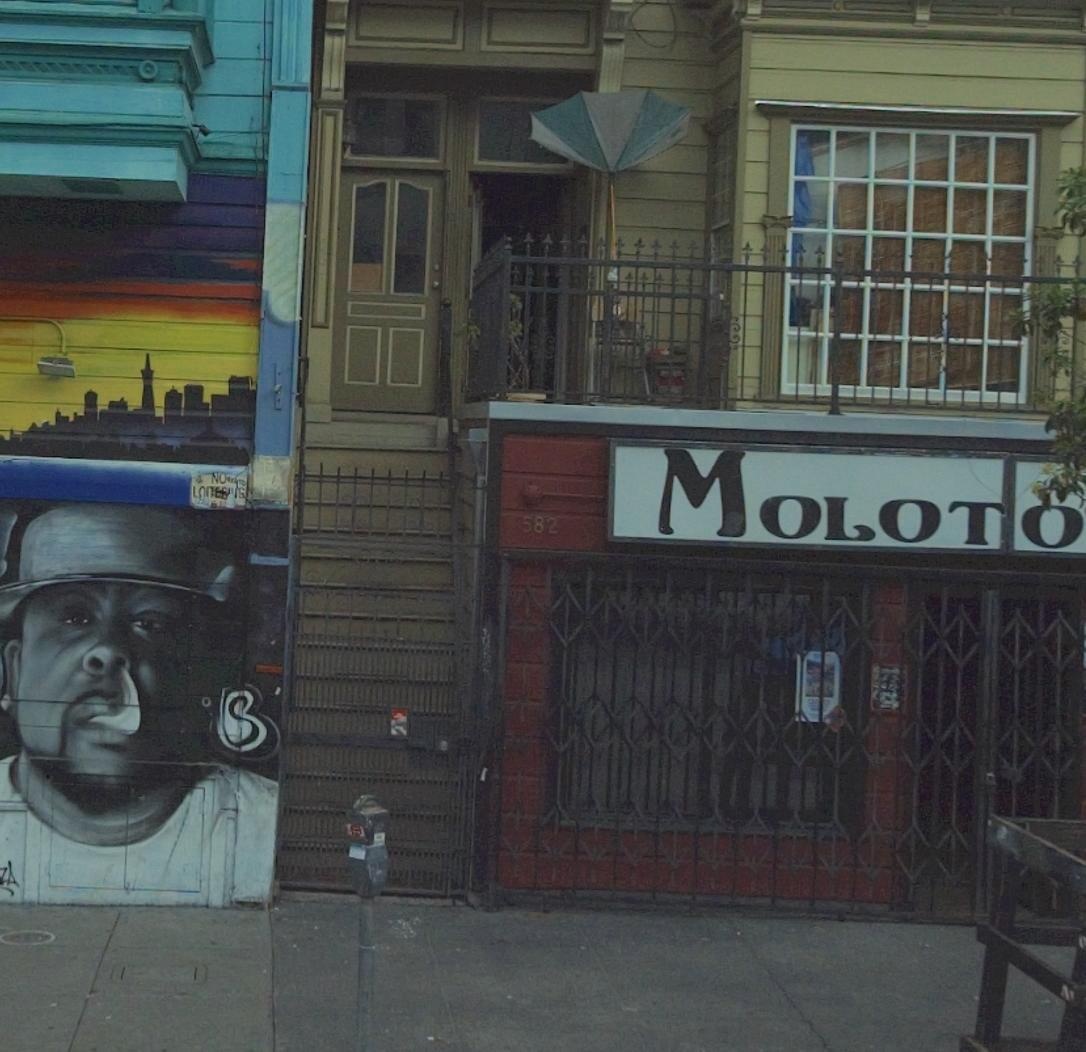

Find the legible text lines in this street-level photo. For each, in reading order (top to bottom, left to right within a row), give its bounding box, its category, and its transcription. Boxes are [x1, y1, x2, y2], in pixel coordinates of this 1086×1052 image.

[209, 470, 228, 486] None: NO
[521, 513, 560, 536] StreetNumber: 582
[650, 439, 1086, 552] BusinessName: MOLOTO
[215, 683, 277, 755] None: S